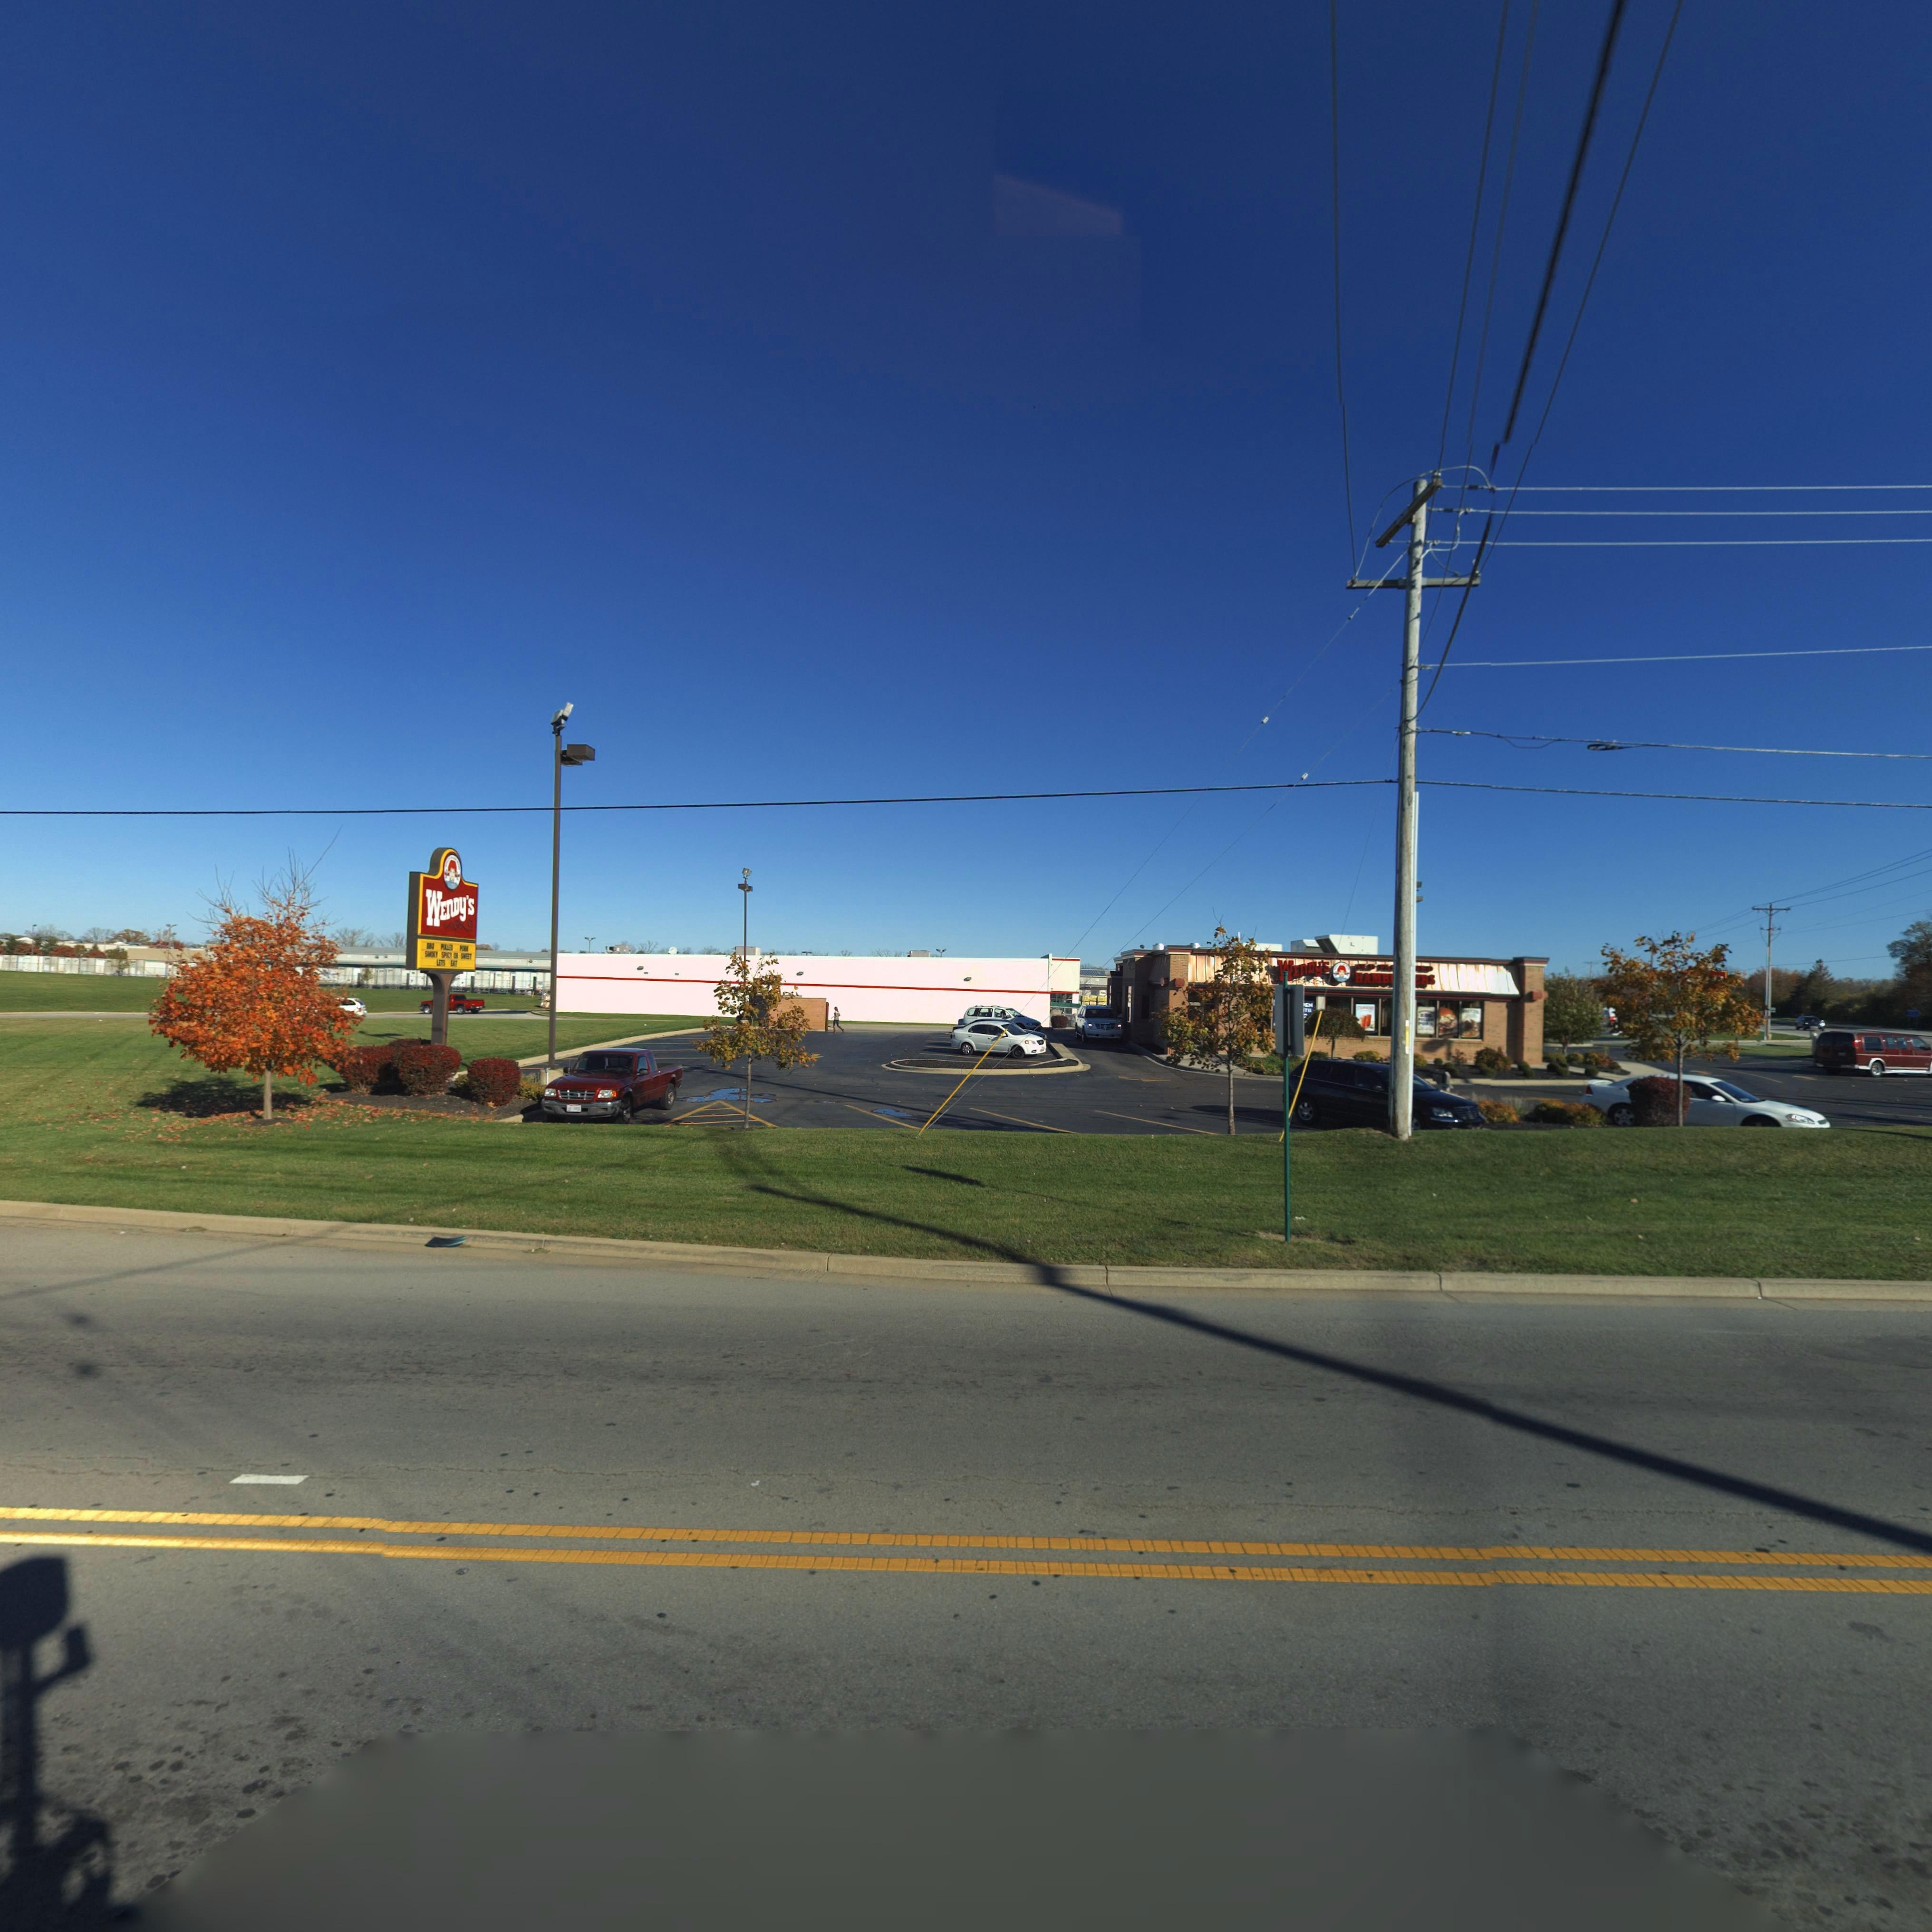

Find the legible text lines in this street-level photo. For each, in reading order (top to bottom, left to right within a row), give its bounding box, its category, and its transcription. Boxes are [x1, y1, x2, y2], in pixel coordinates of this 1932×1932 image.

[1188, 995, 1198, 1002] StreetNumber: 20